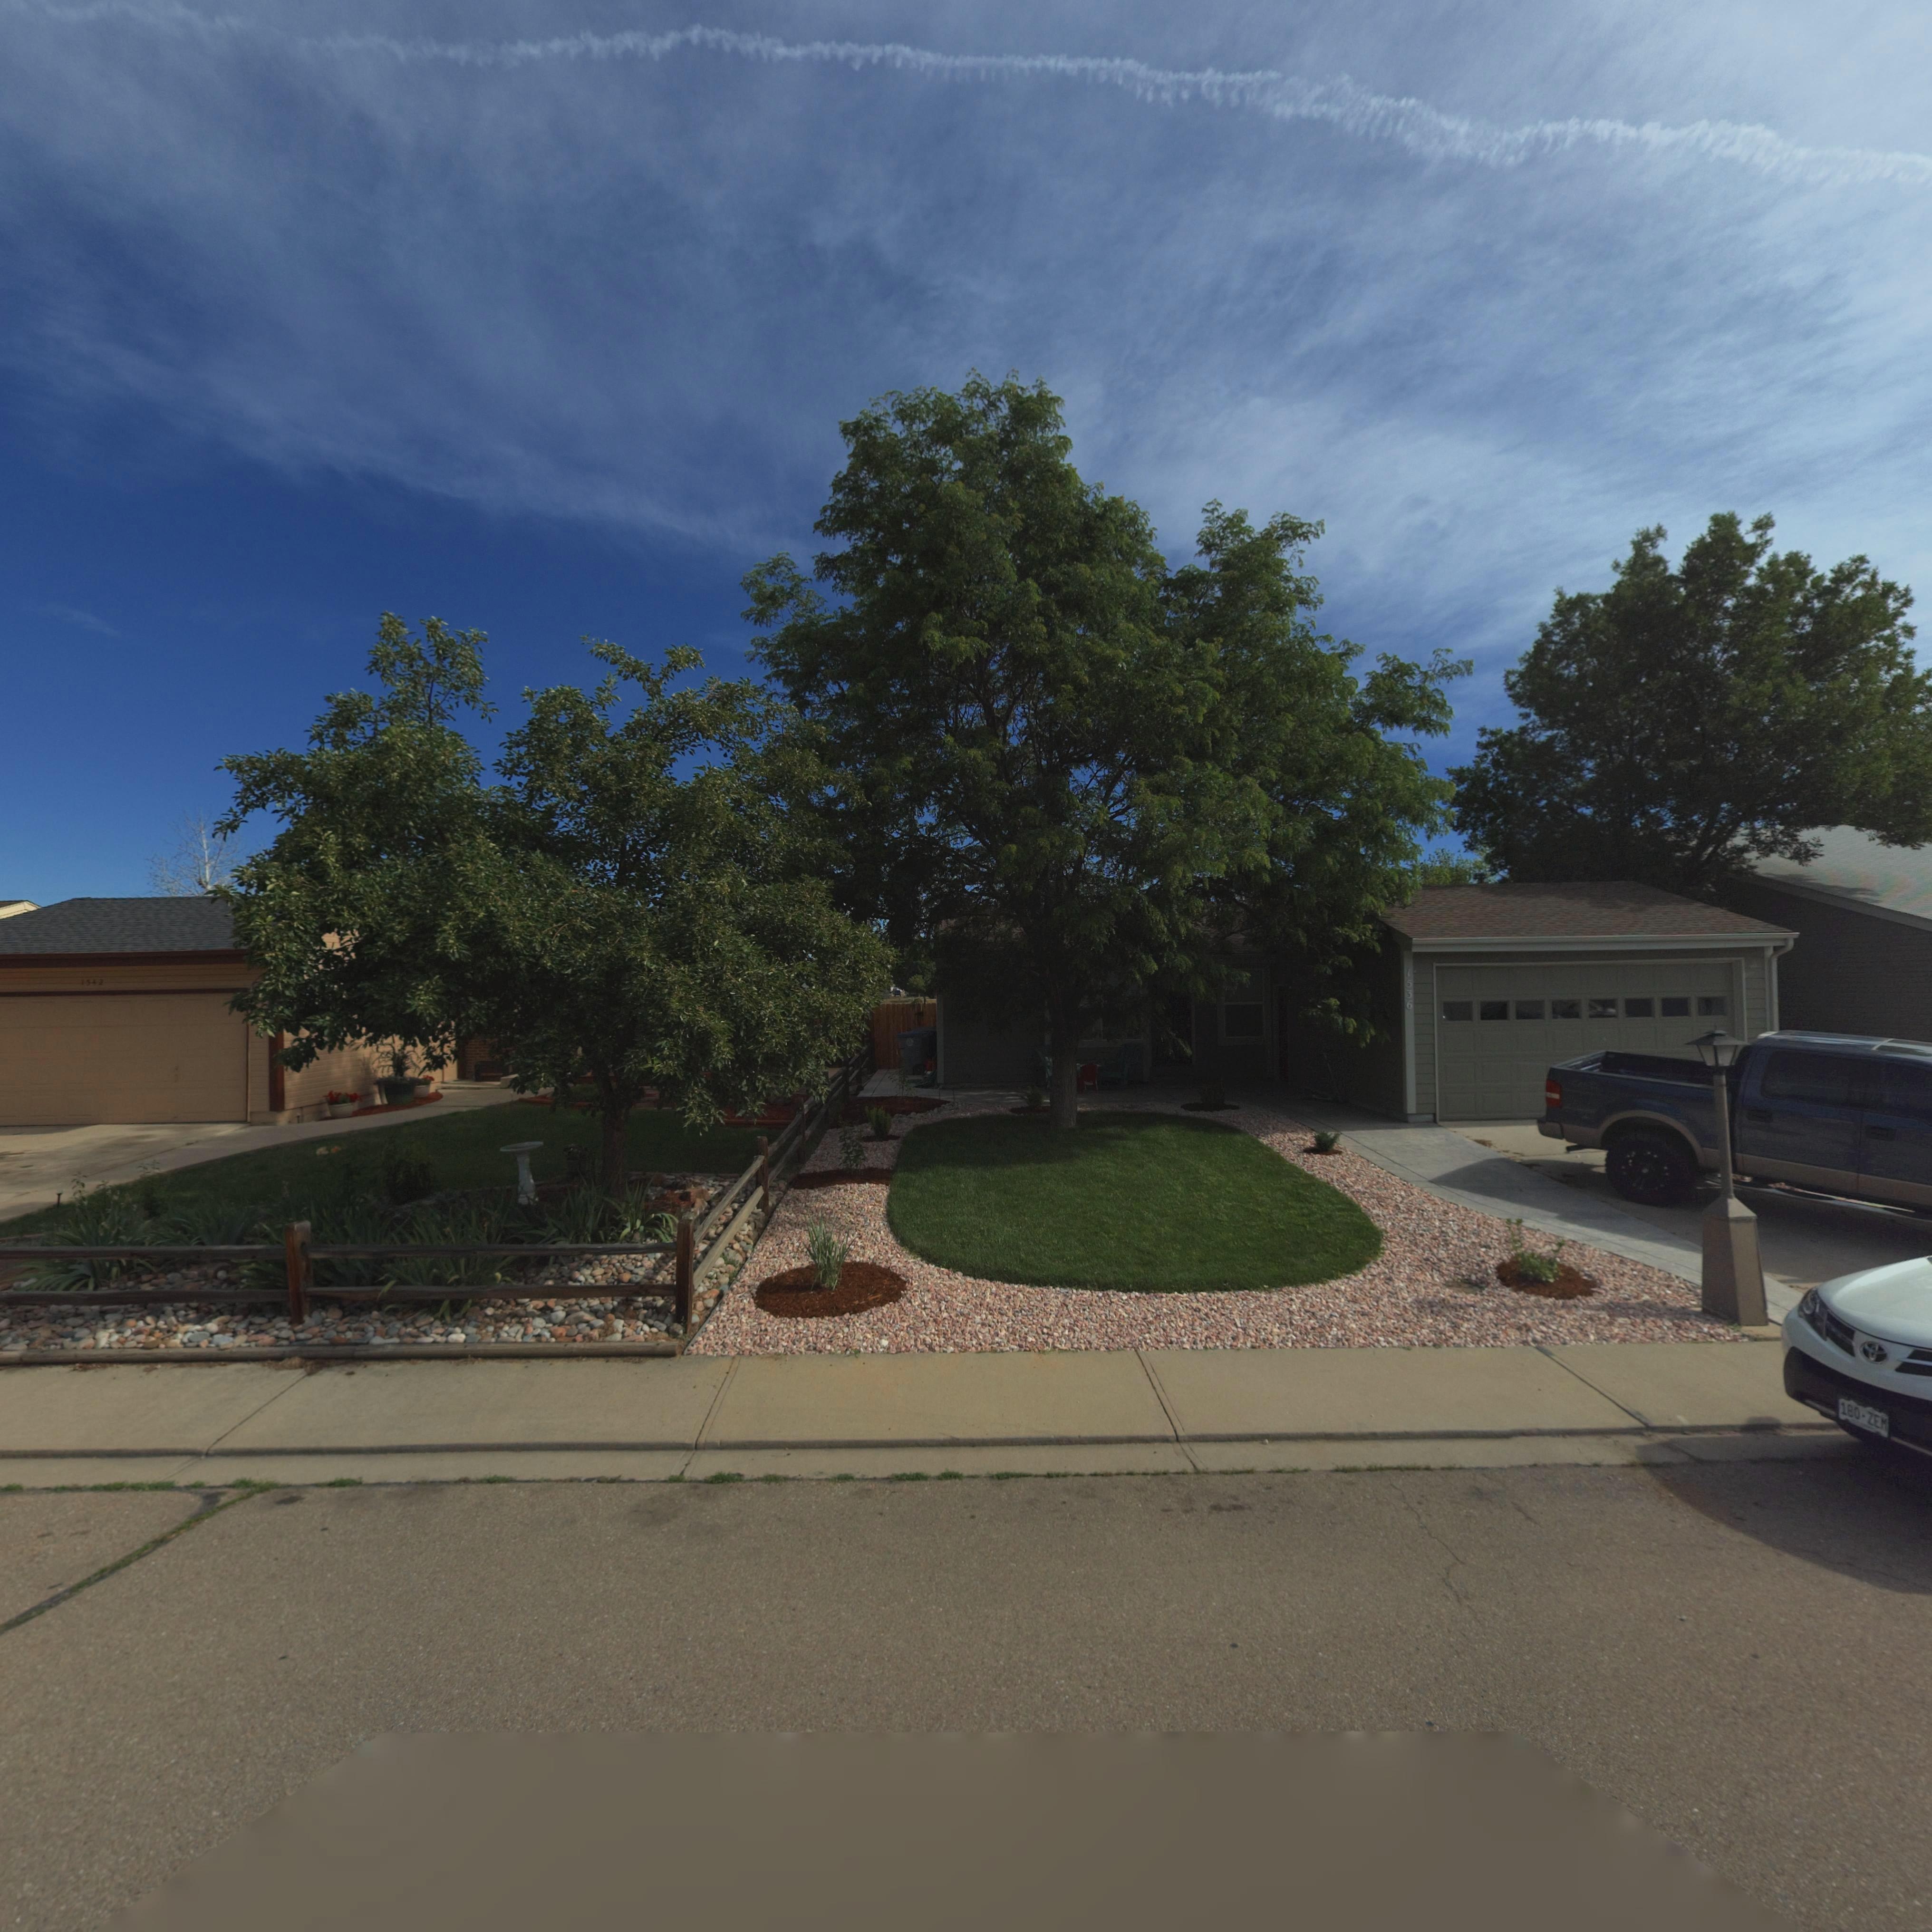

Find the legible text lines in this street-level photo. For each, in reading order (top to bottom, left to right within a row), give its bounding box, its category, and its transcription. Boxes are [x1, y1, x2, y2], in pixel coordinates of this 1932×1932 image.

[80, 977, 104, 986] StreetNumber: 1542
[1405, 967, 1412, 1010] StreetNumber: 1536